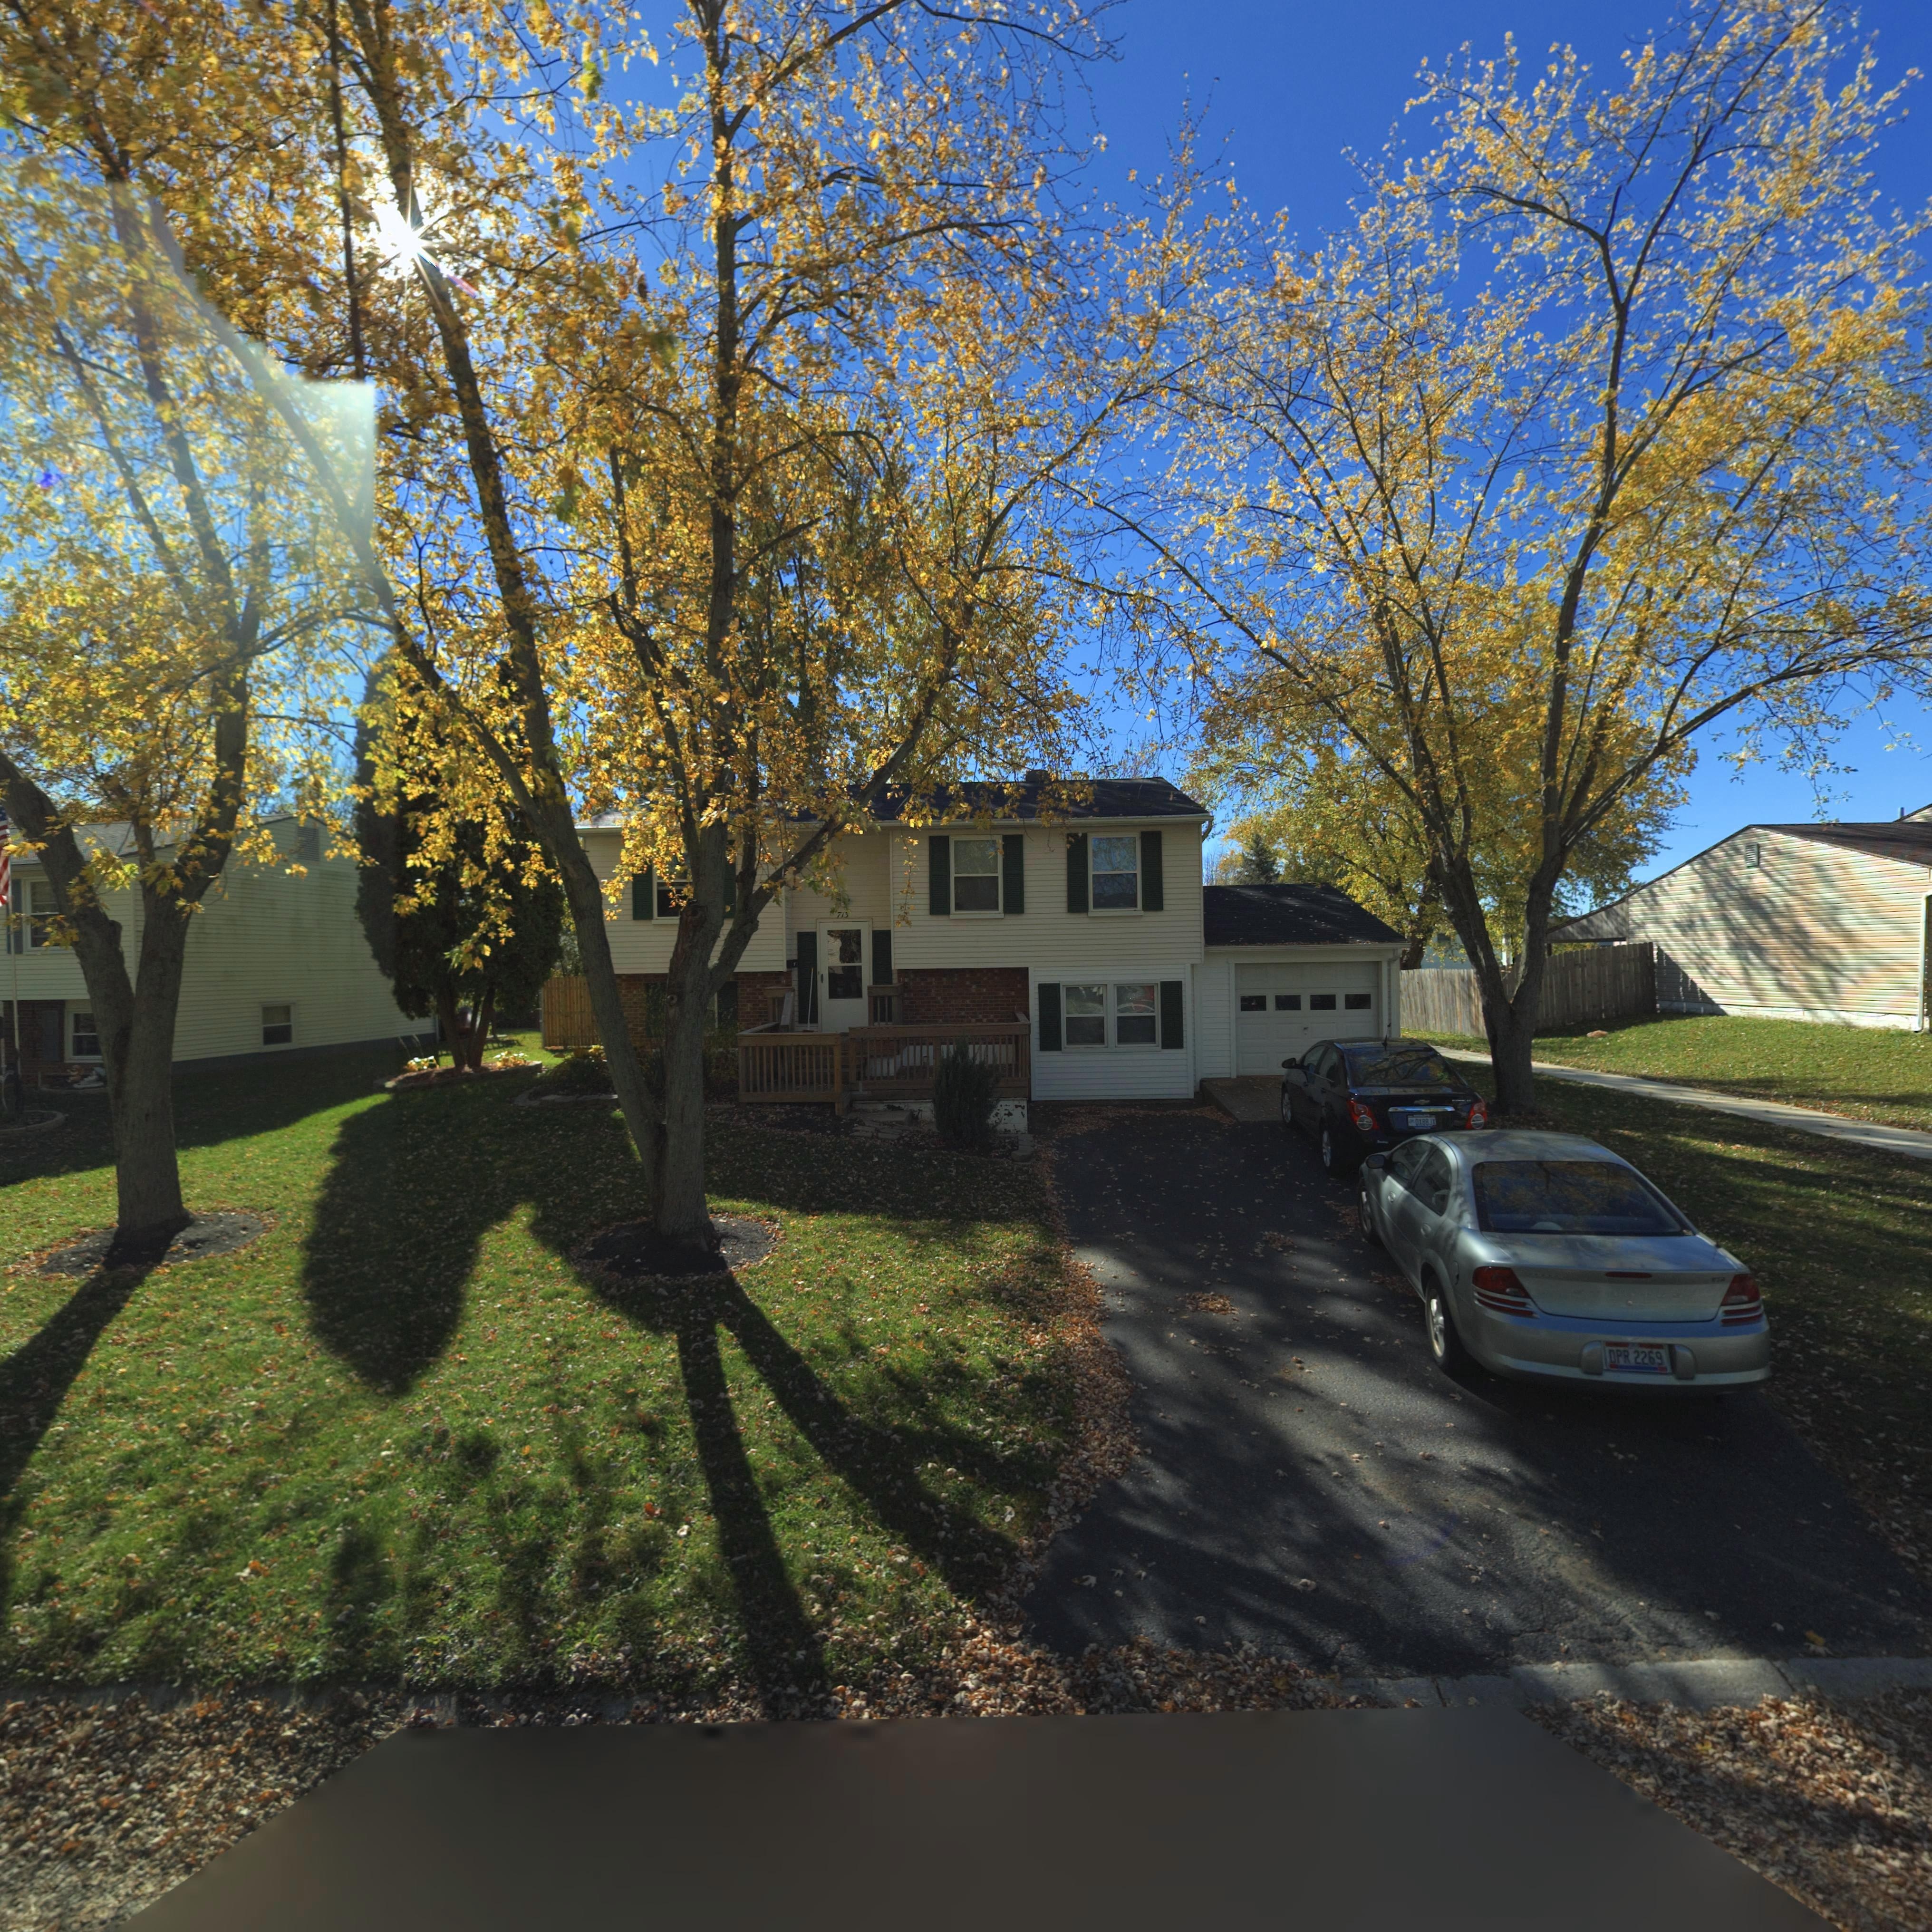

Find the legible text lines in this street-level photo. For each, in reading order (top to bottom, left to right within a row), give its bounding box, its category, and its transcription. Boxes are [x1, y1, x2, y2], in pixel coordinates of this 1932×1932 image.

[836, 911, 849, 918] StreetNumber: 713
[1605, 1346, 1665, 1369] None: DPR 2269